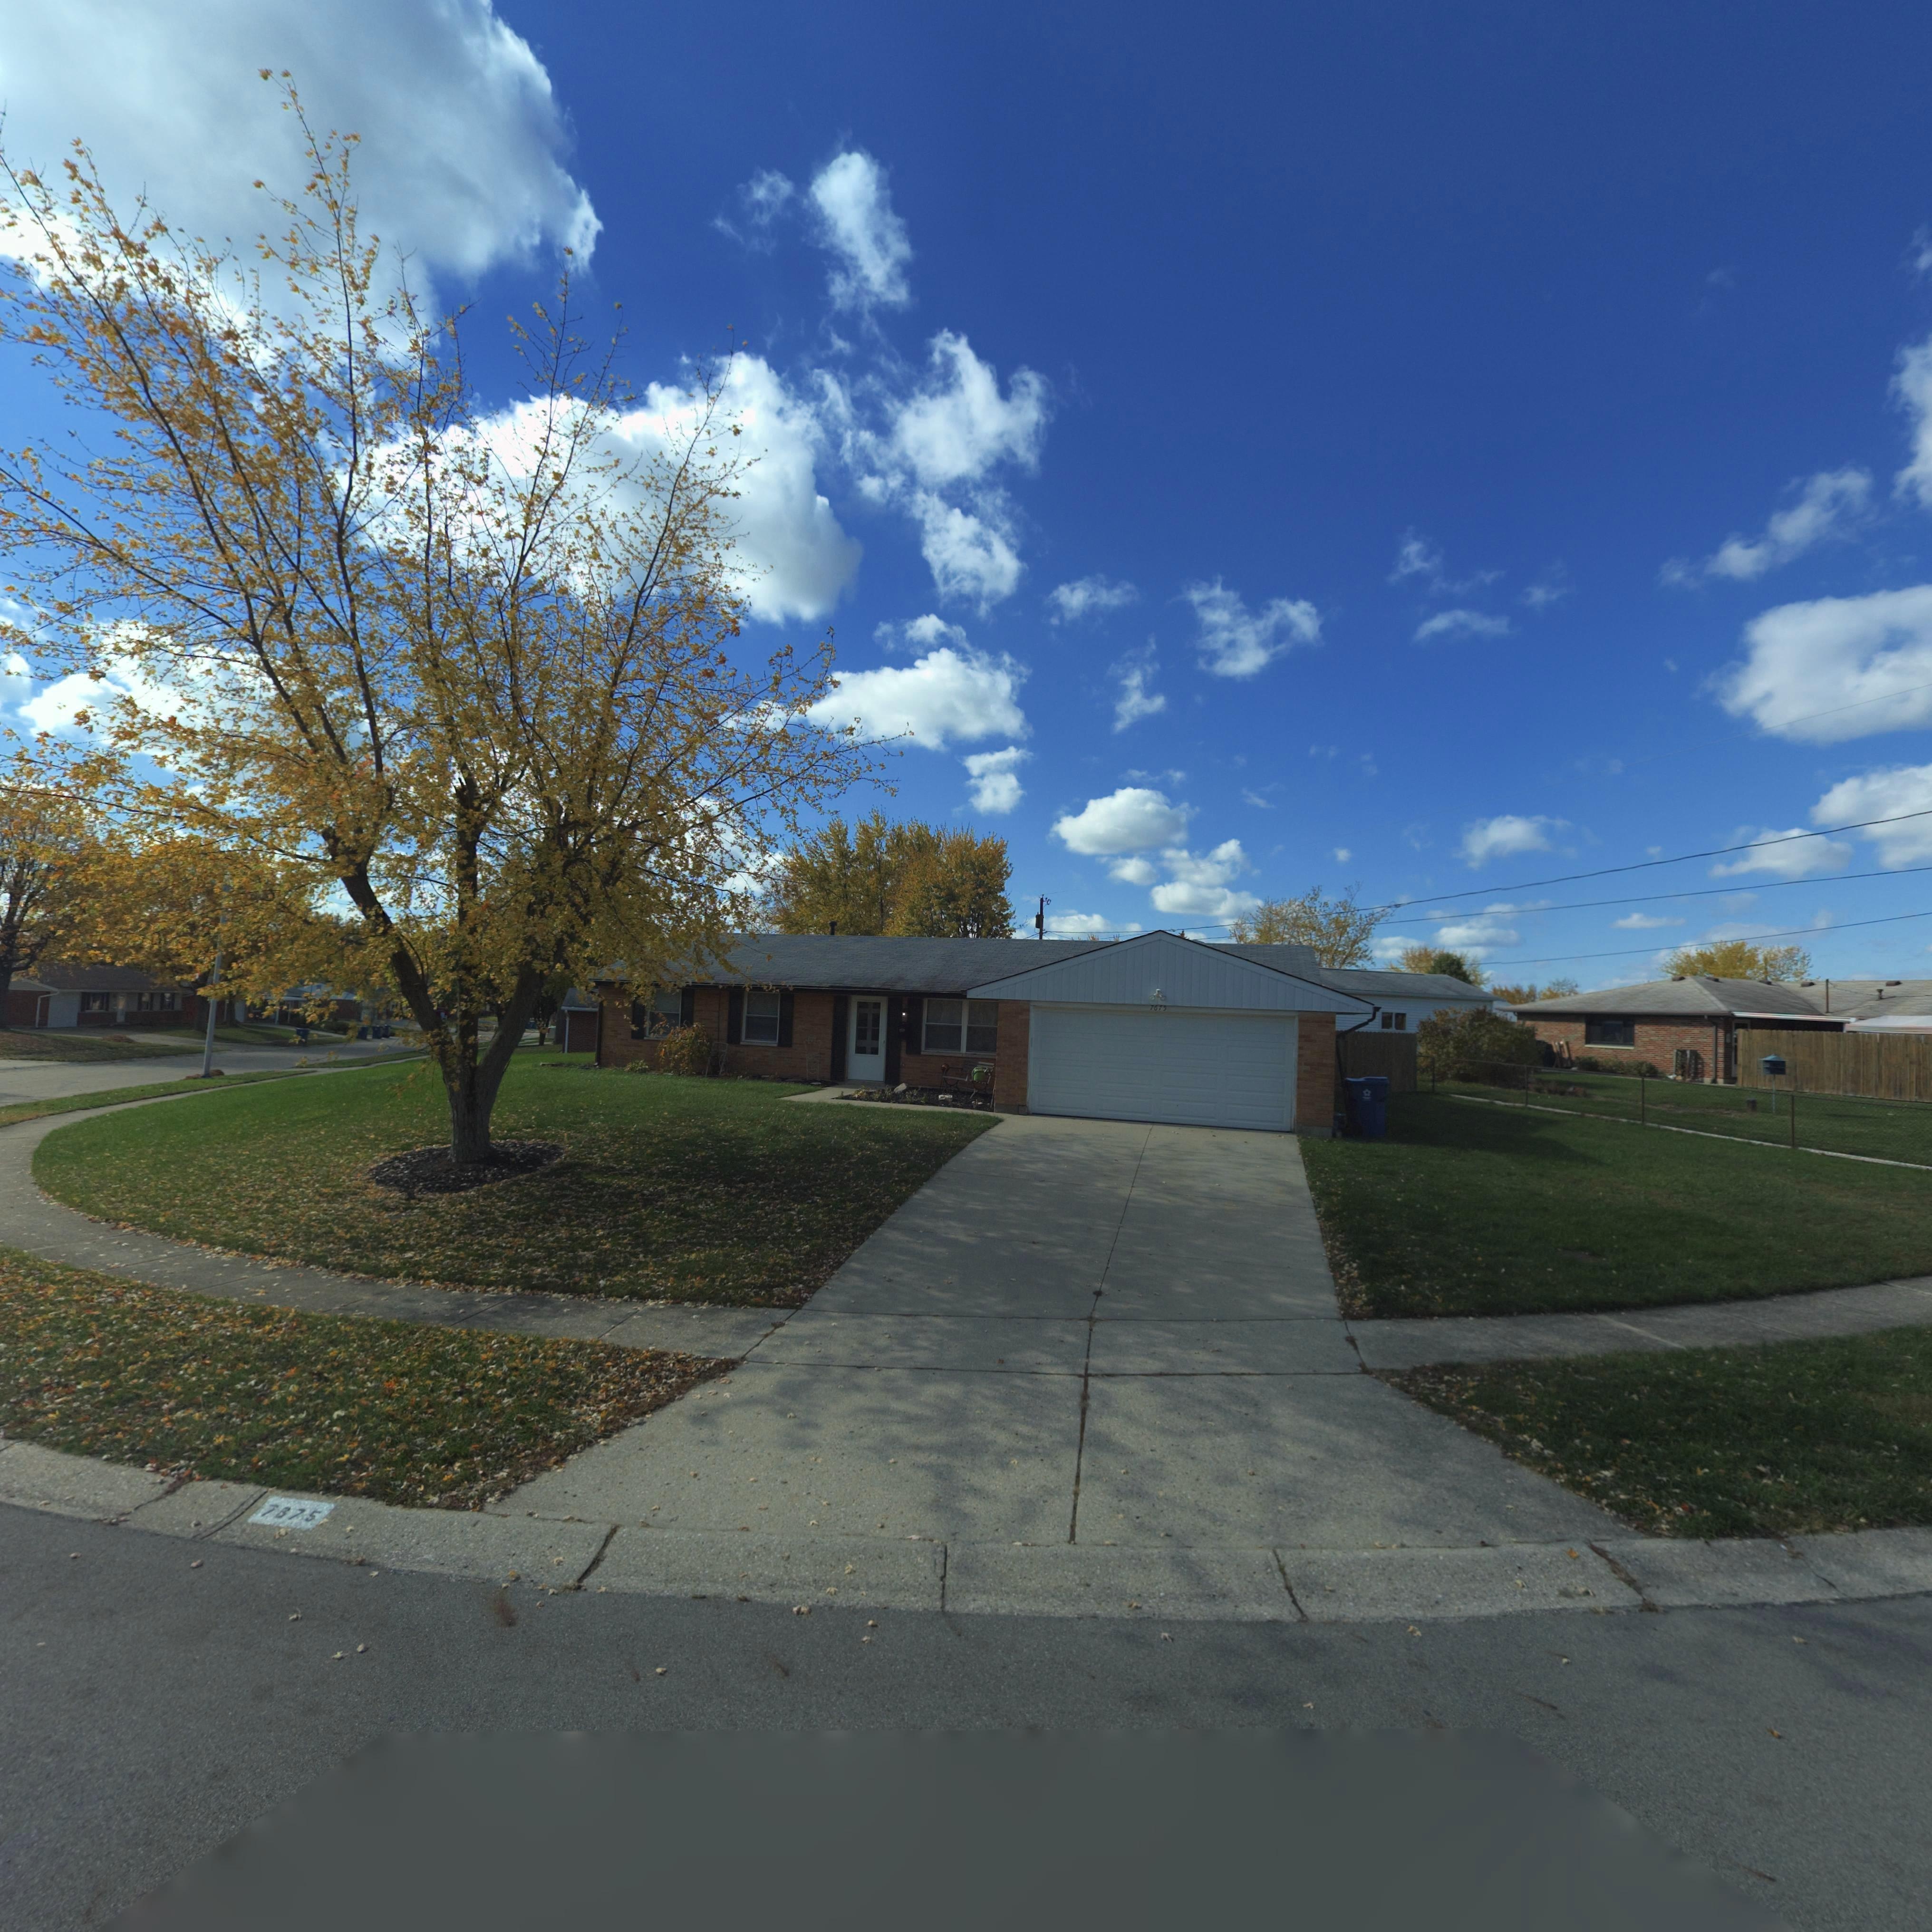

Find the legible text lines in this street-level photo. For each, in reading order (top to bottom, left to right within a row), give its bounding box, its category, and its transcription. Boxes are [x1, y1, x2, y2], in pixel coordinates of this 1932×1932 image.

[1150, 1005, 1167, 1012] StreetNumber: 7675
[258, 1503, 324, 1525] StreetNumber: 7675